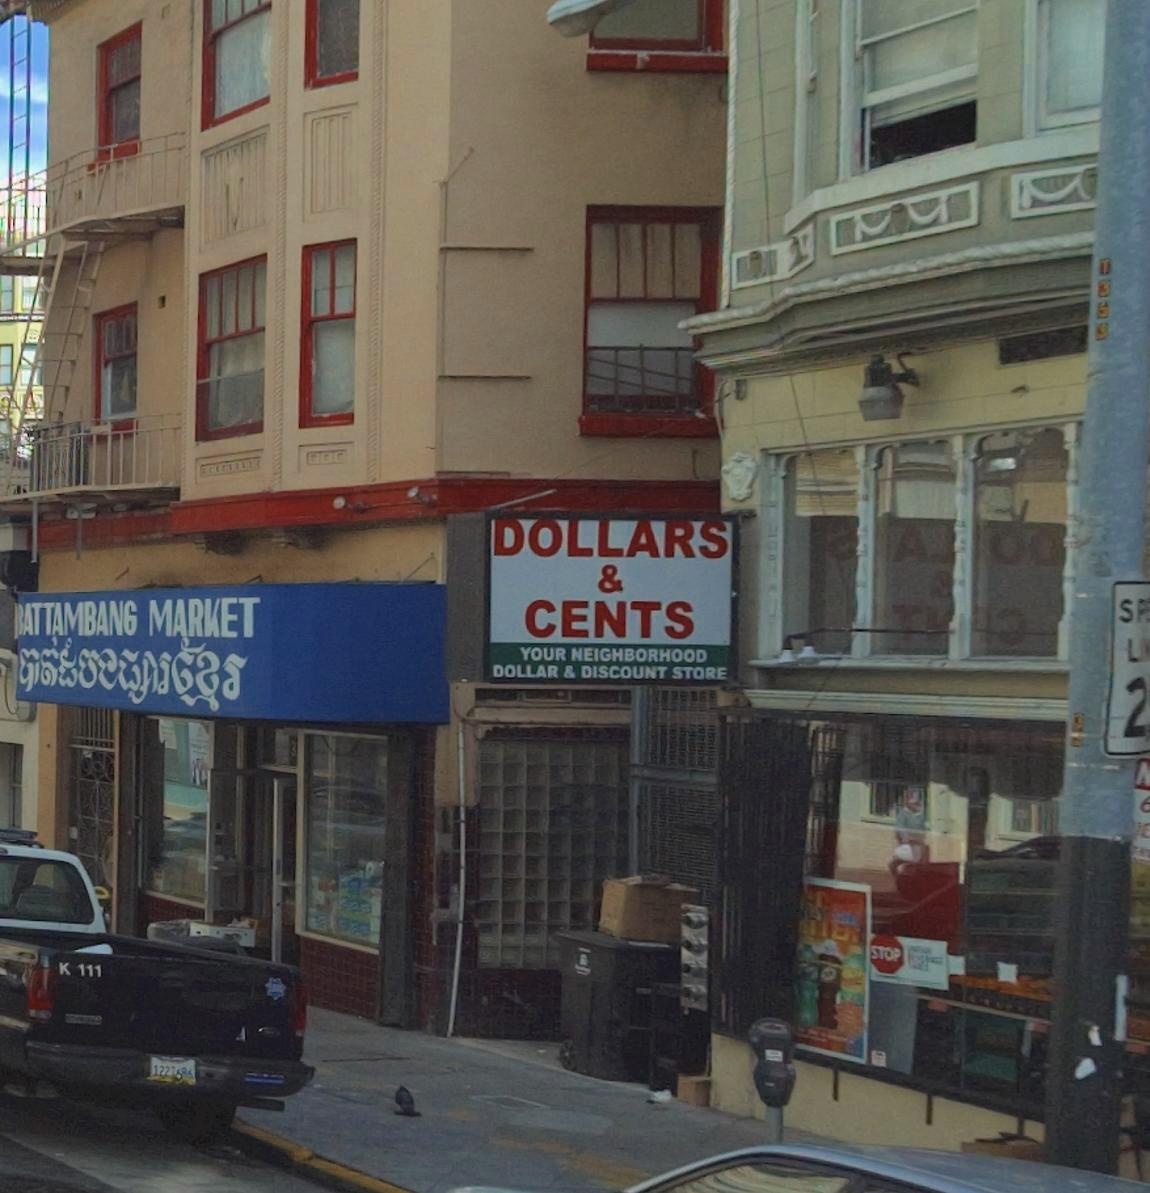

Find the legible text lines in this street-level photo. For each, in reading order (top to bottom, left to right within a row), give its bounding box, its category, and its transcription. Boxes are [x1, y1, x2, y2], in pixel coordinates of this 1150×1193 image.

[1089, 254, 1116, 343] None: T3**
[491, 515, 732, 561] BusinessName: DOLLARS
[20, 593, 265, 642] BusinessName: ATTAMBANG MARKET
[521, 596, 699, 642] BusinessName: CENTS
[1115, 594, 1138, 627] None: S
[514, 644, 711, 665] None: YOUR NEIGHBORHOOD
[1123, 635, 1143, 666] None: L
[491, 661, 731, 682] None: DOLLAR & DISCOUNT STORE
[56, 959, 104, 981] None: K 111
[868, 943, 903, 966] None: STOP